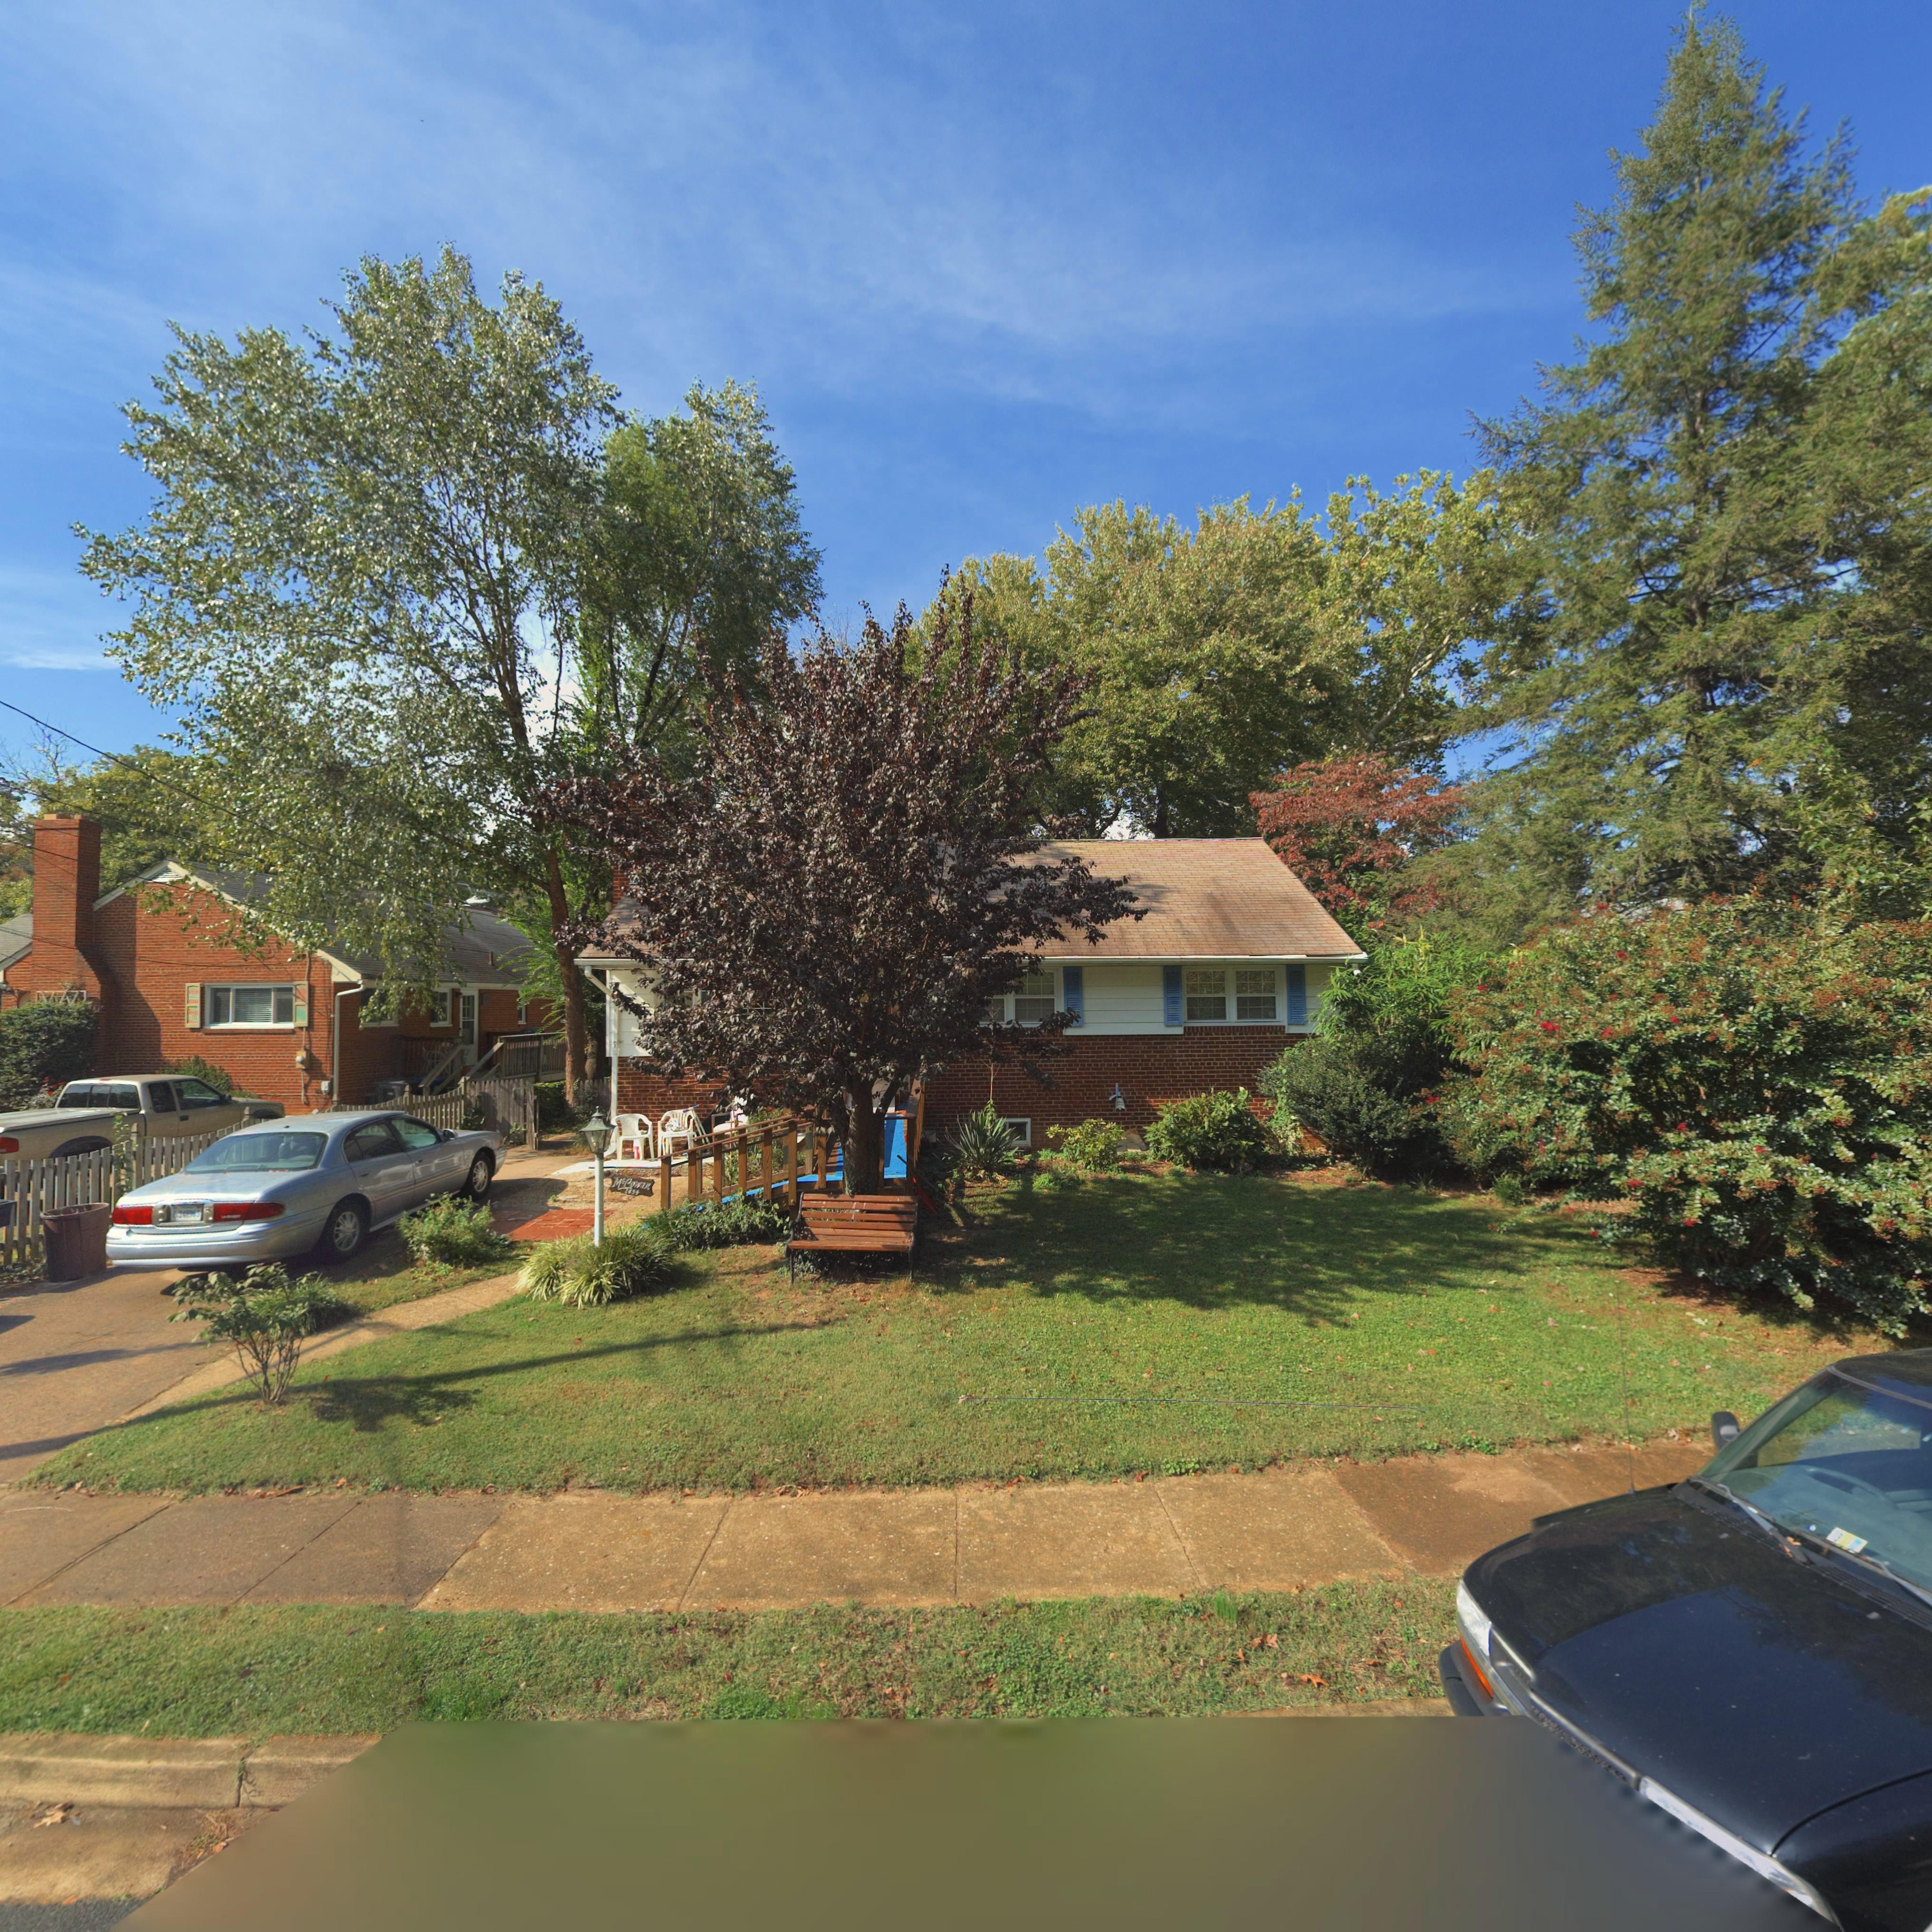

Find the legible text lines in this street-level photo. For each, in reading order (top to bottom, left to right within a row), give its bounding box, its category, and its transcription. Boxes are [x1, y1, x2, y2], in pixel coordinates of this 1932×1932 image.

[178, 1209, 201, 1218] None: 248363